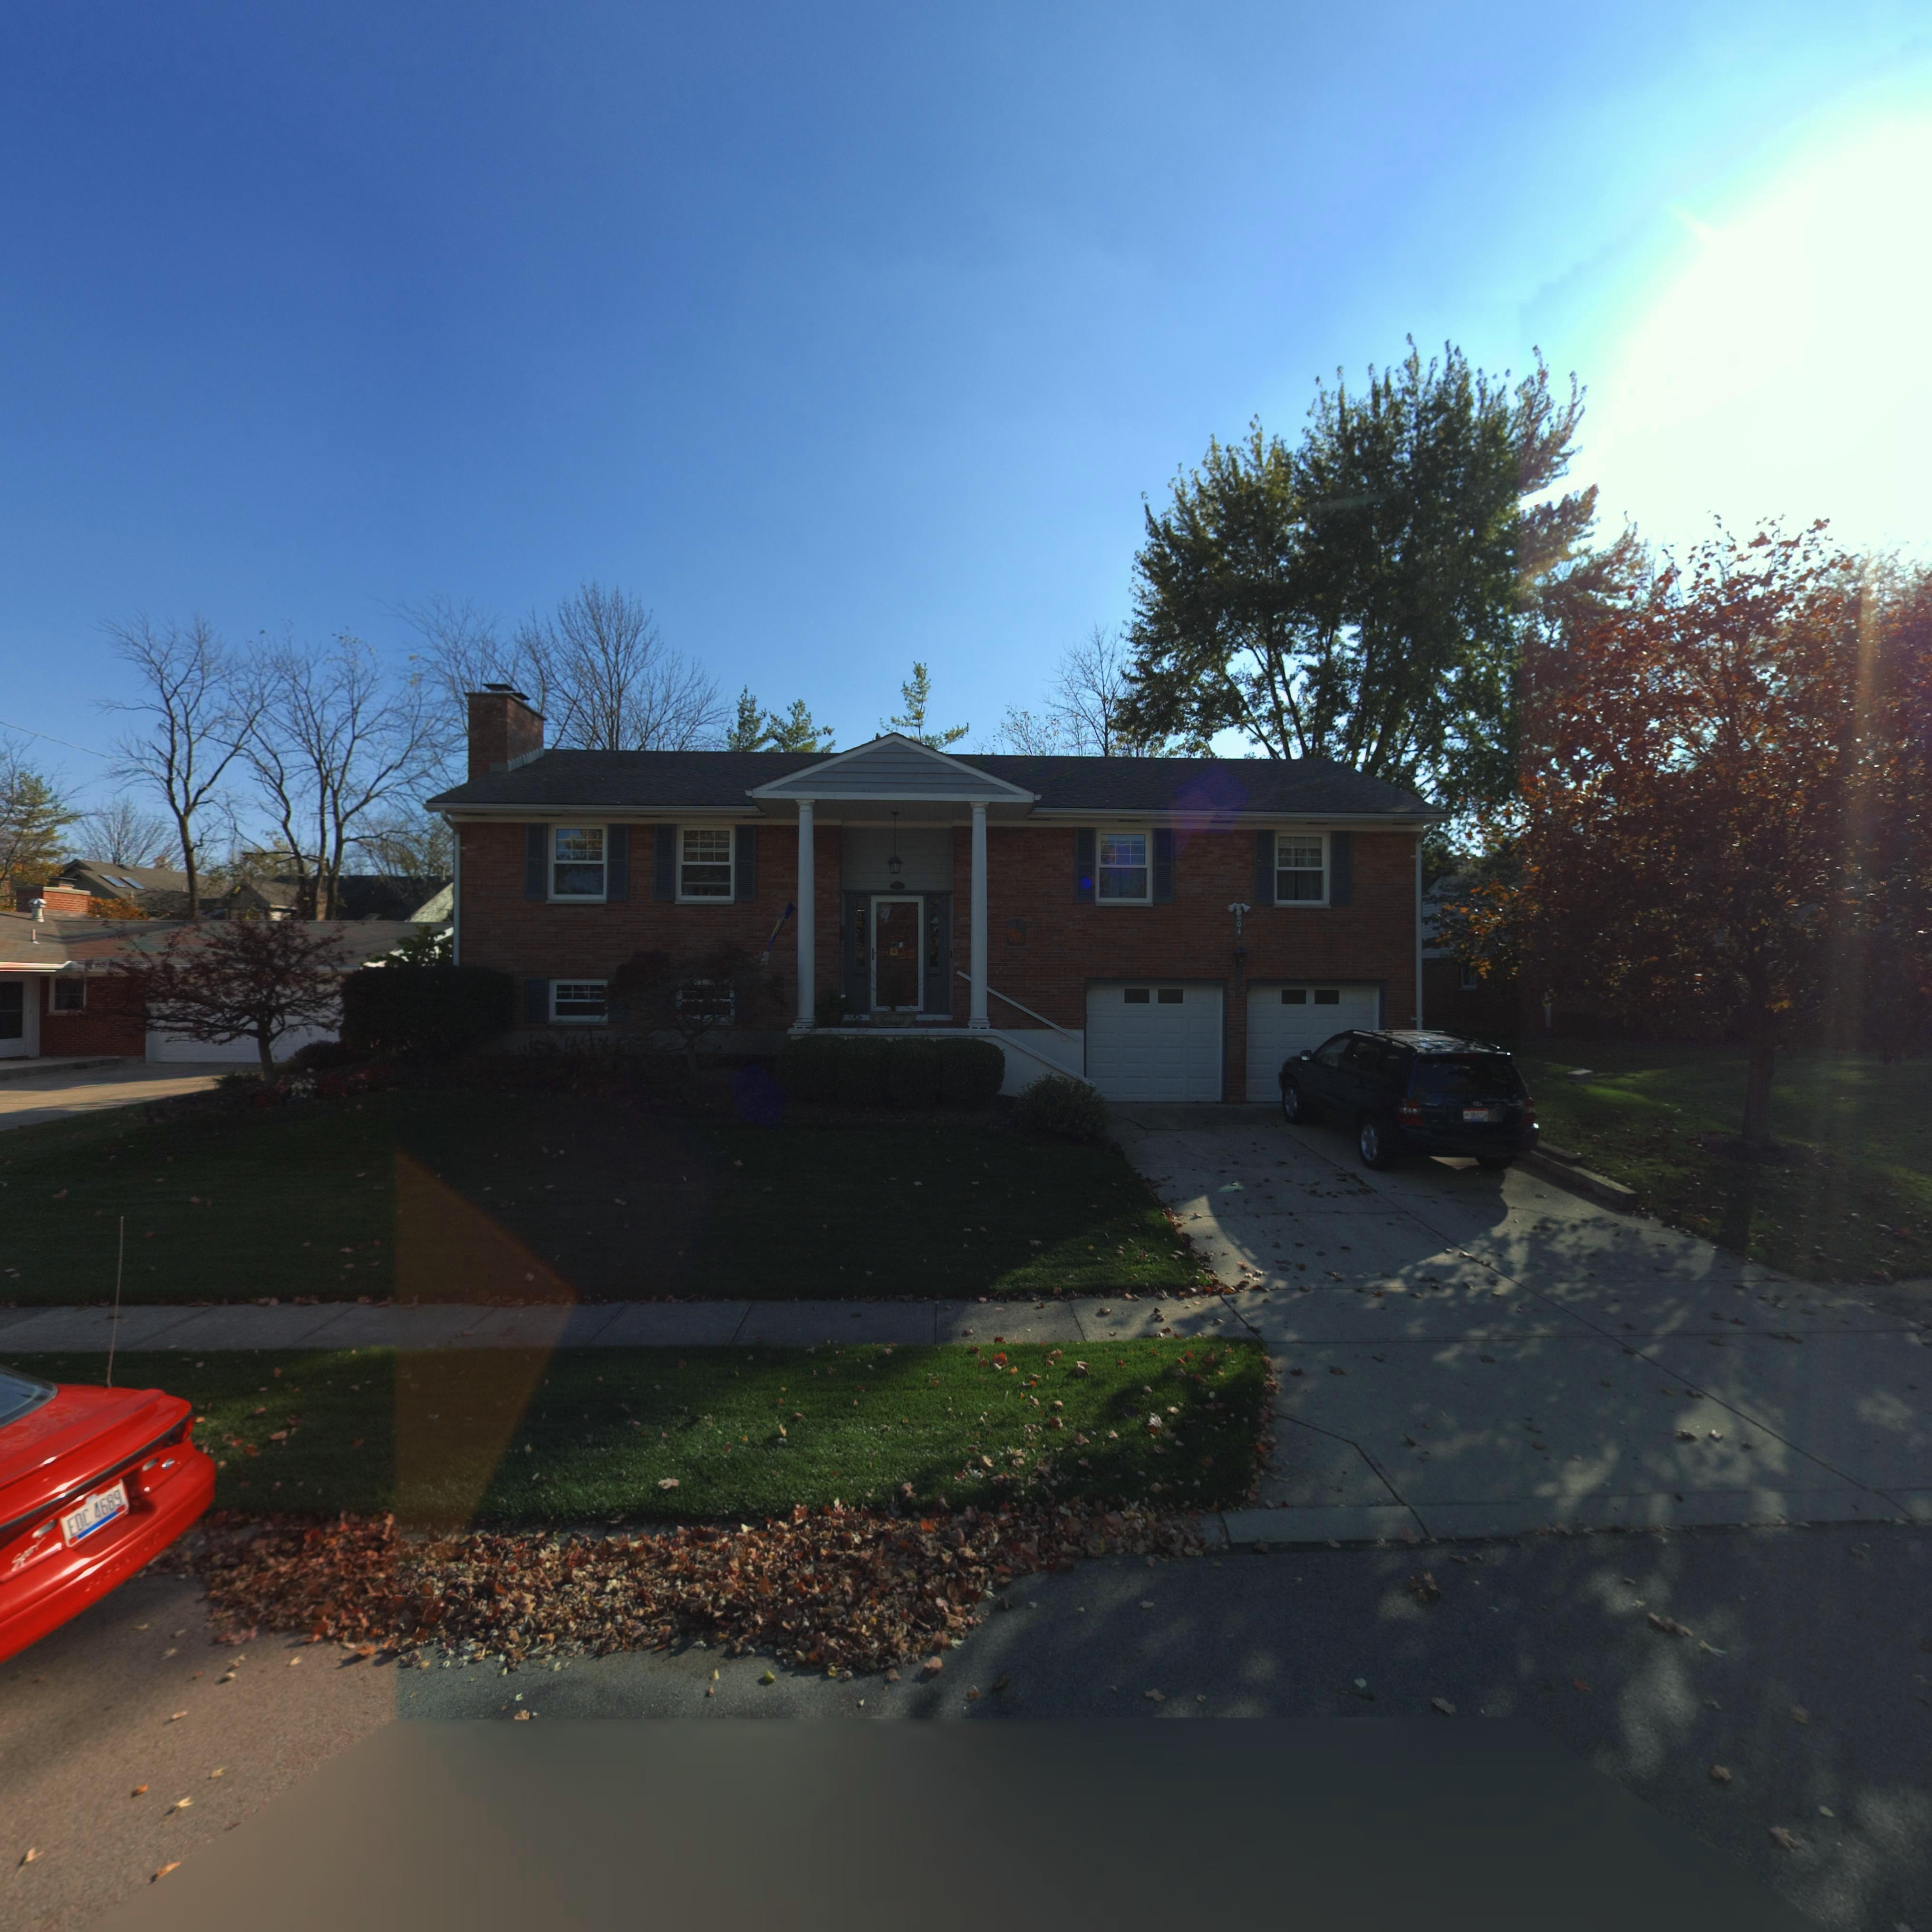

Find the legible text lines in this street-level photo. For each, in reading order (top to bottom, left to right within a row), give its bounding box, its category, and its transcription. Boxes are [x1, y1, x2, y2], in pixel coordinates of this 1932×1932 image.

[1236, 920, 1242, 936] StreetNumber: 04